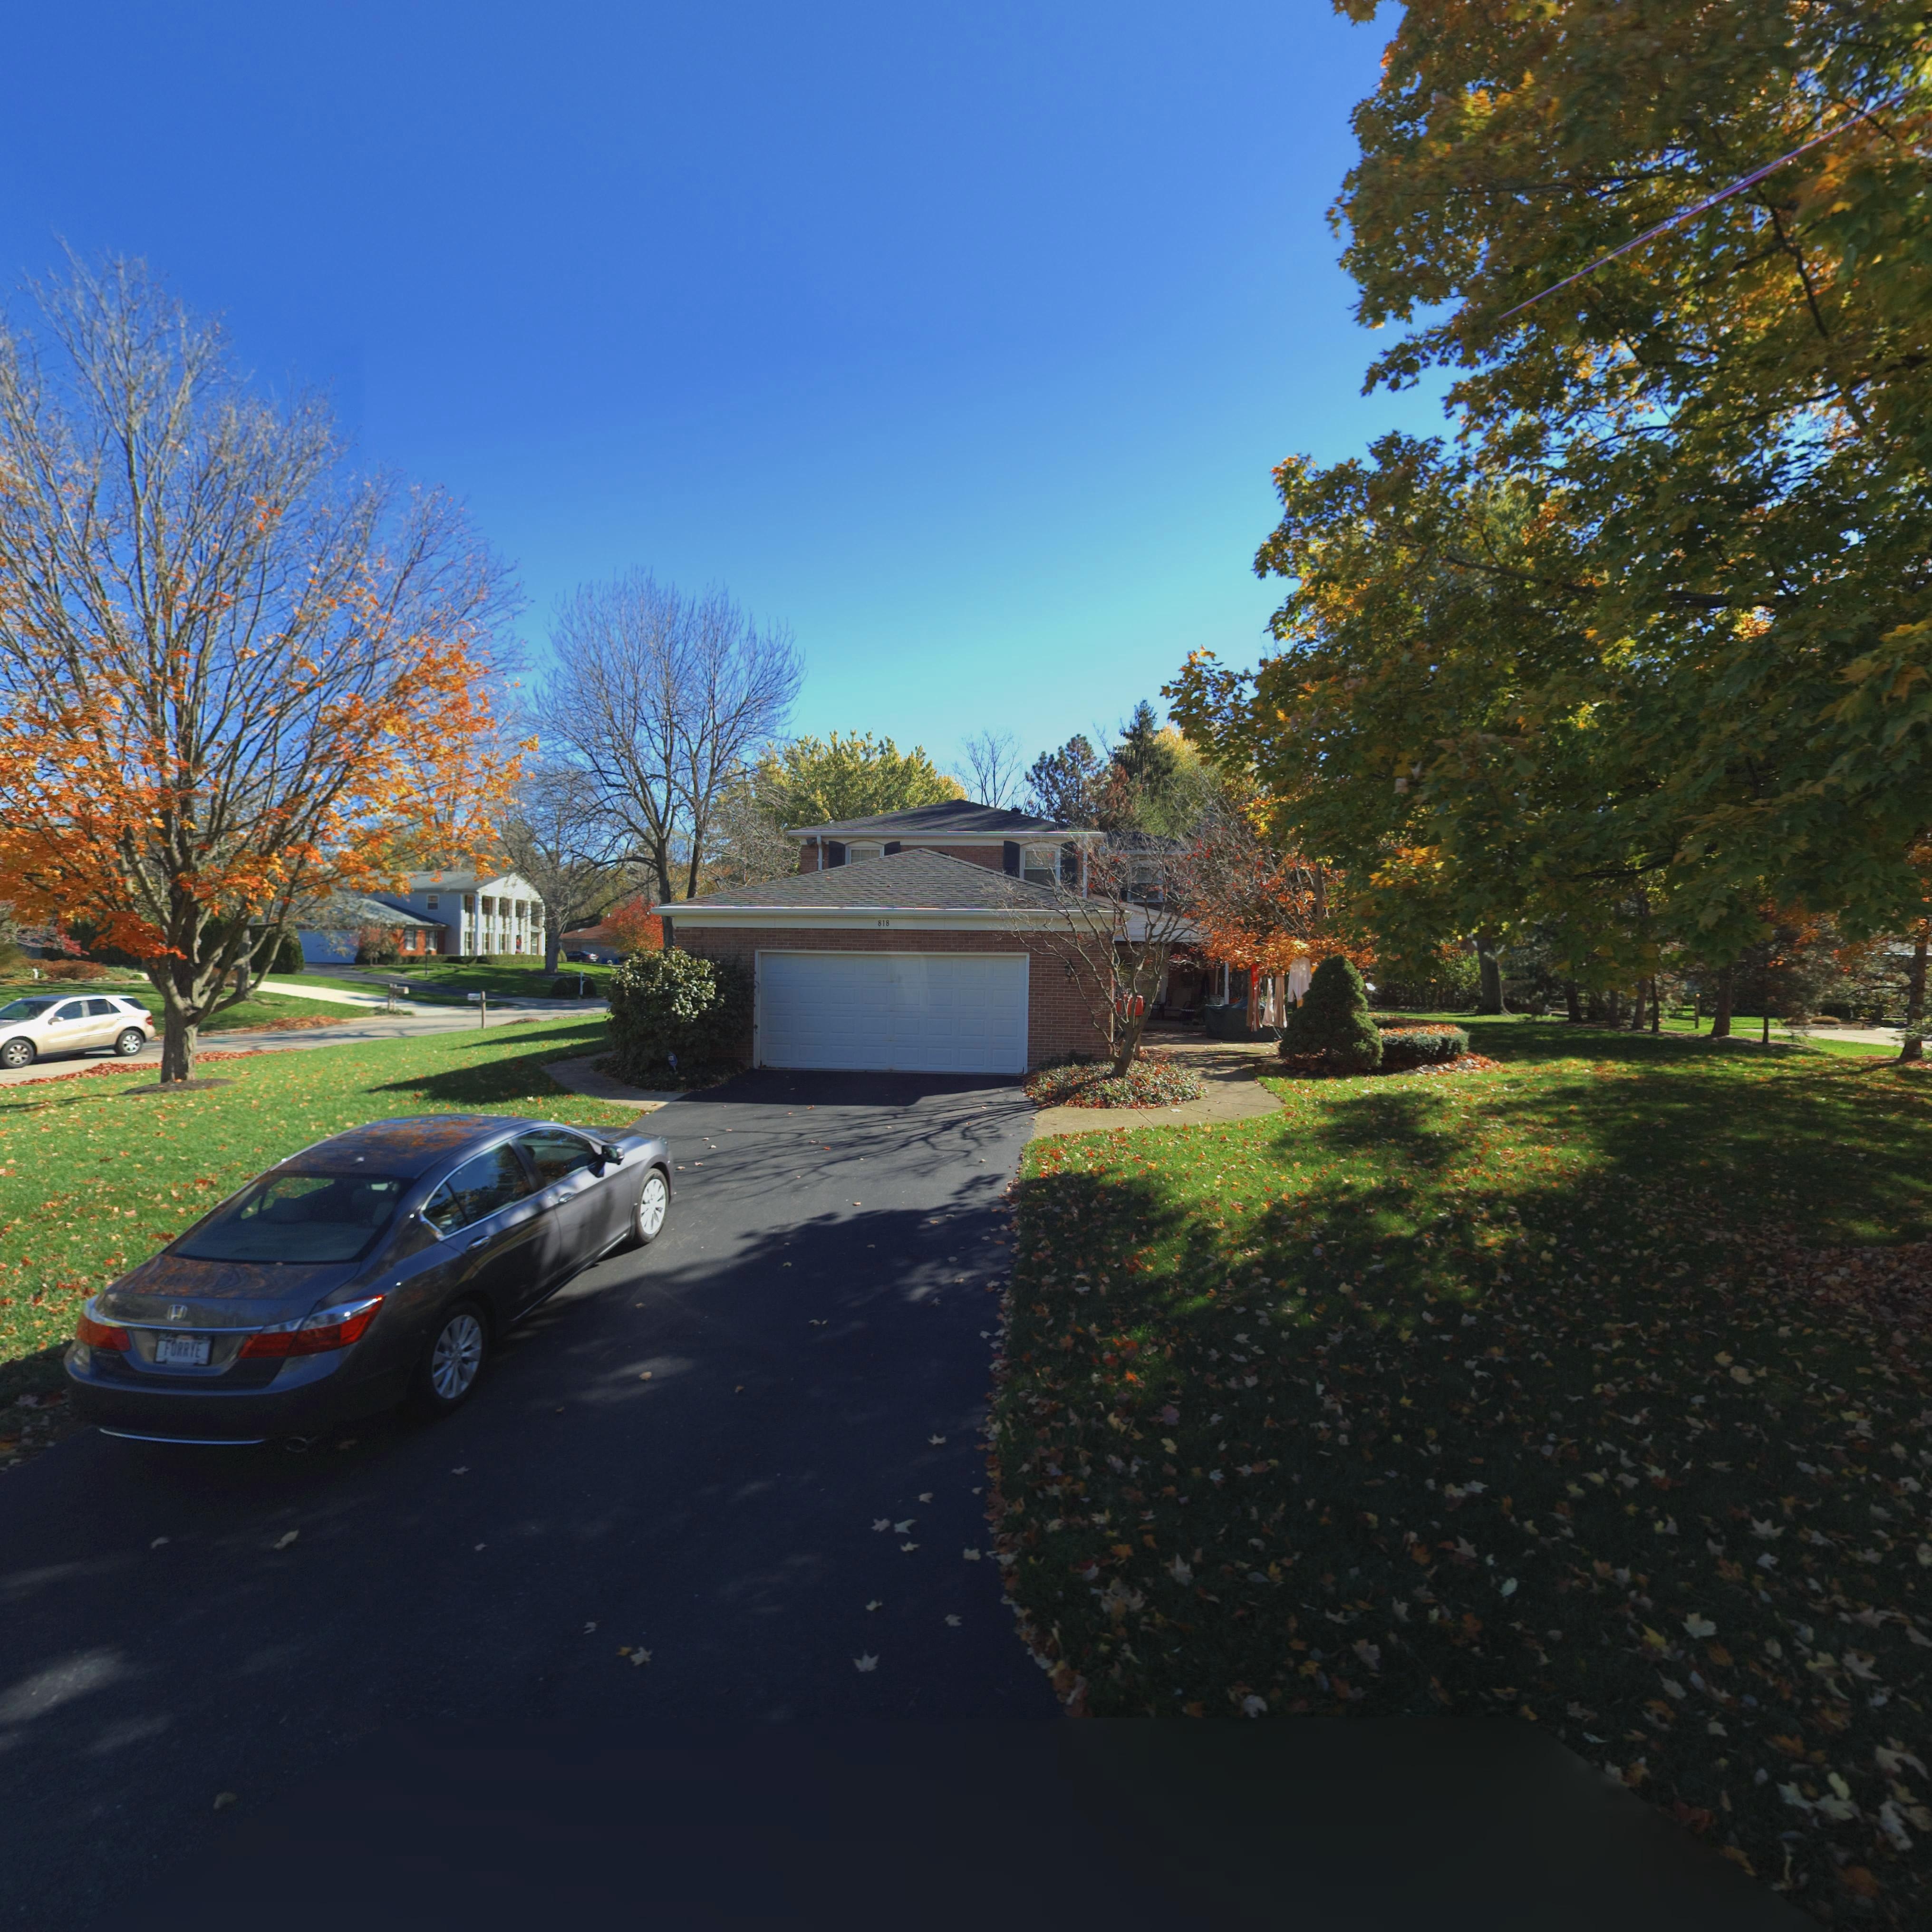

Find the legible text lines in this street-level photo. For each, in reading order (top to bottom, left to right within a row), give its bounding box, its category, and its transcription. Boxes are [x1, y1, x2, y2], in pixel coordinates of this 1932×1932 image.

[877, 918, 890, 927] StreetNumber: 818